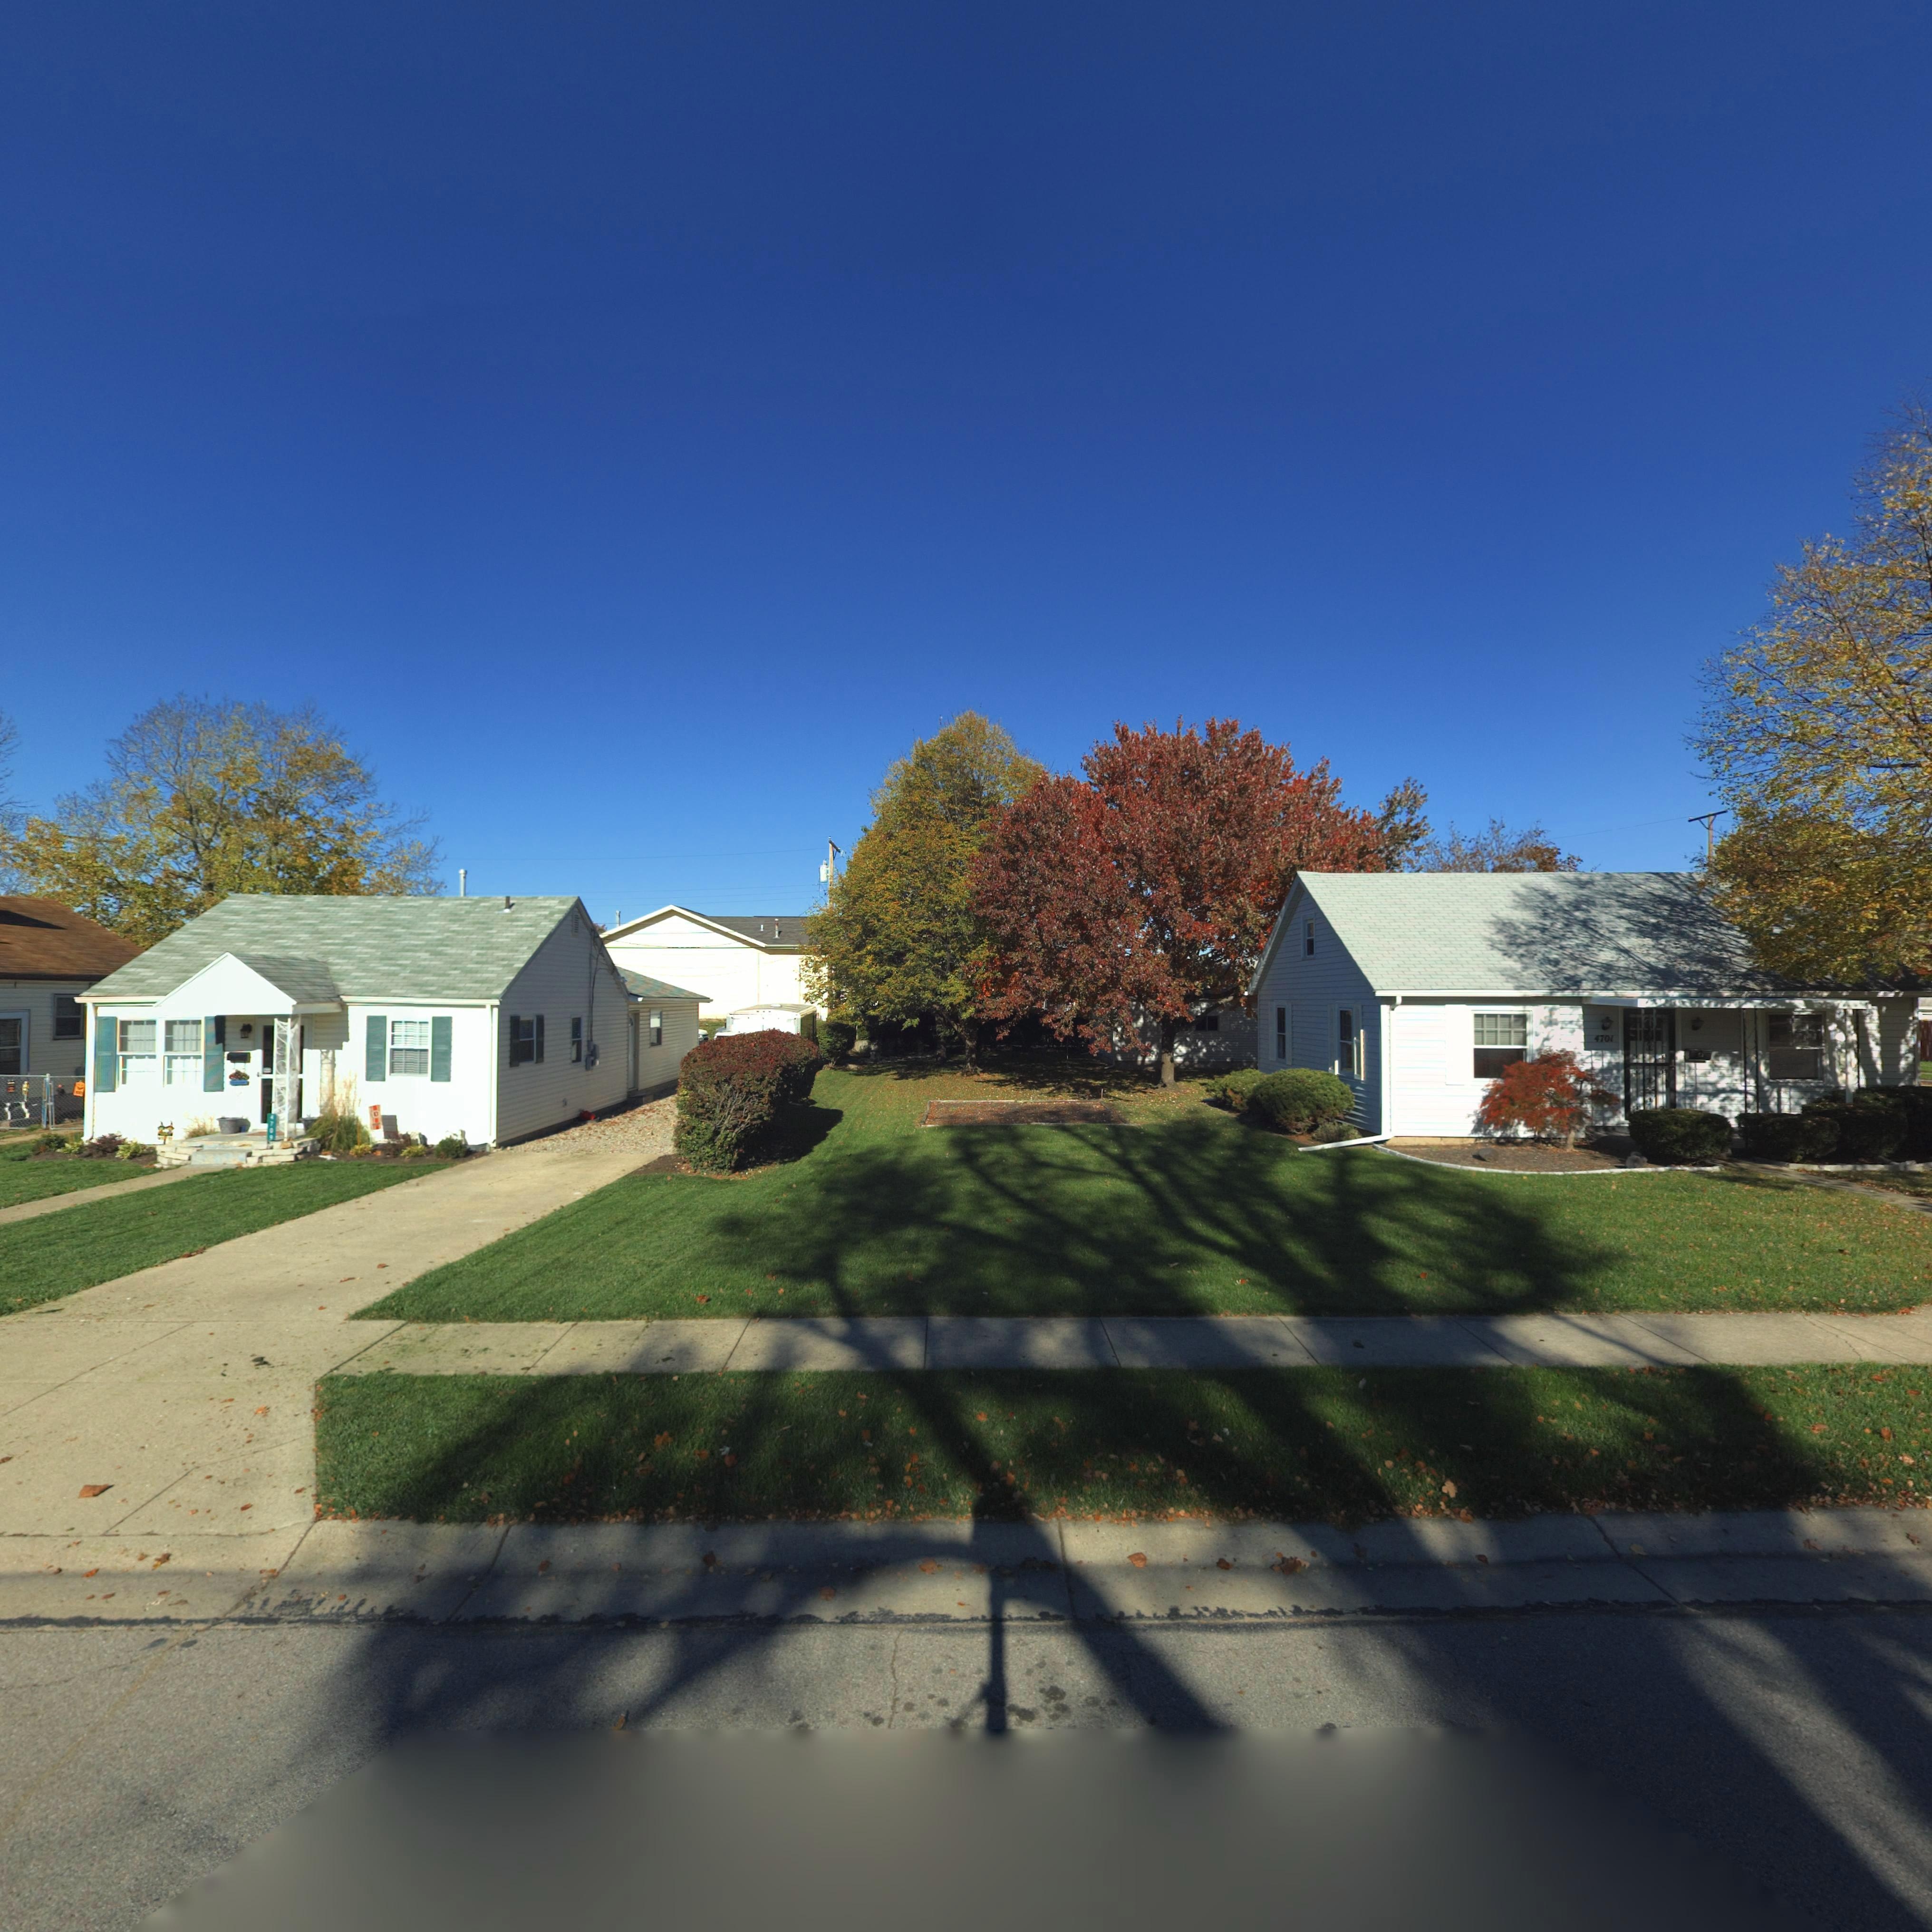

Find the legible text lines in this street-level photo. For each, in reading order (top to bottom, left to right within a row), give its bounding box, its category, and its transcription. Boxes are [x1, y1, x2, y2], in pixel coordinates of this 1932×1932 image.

[1593, 1034, 1615, 1043] StreetNumber: 4701
[268, 1113, 275, 1142] StreetNumber: 4709